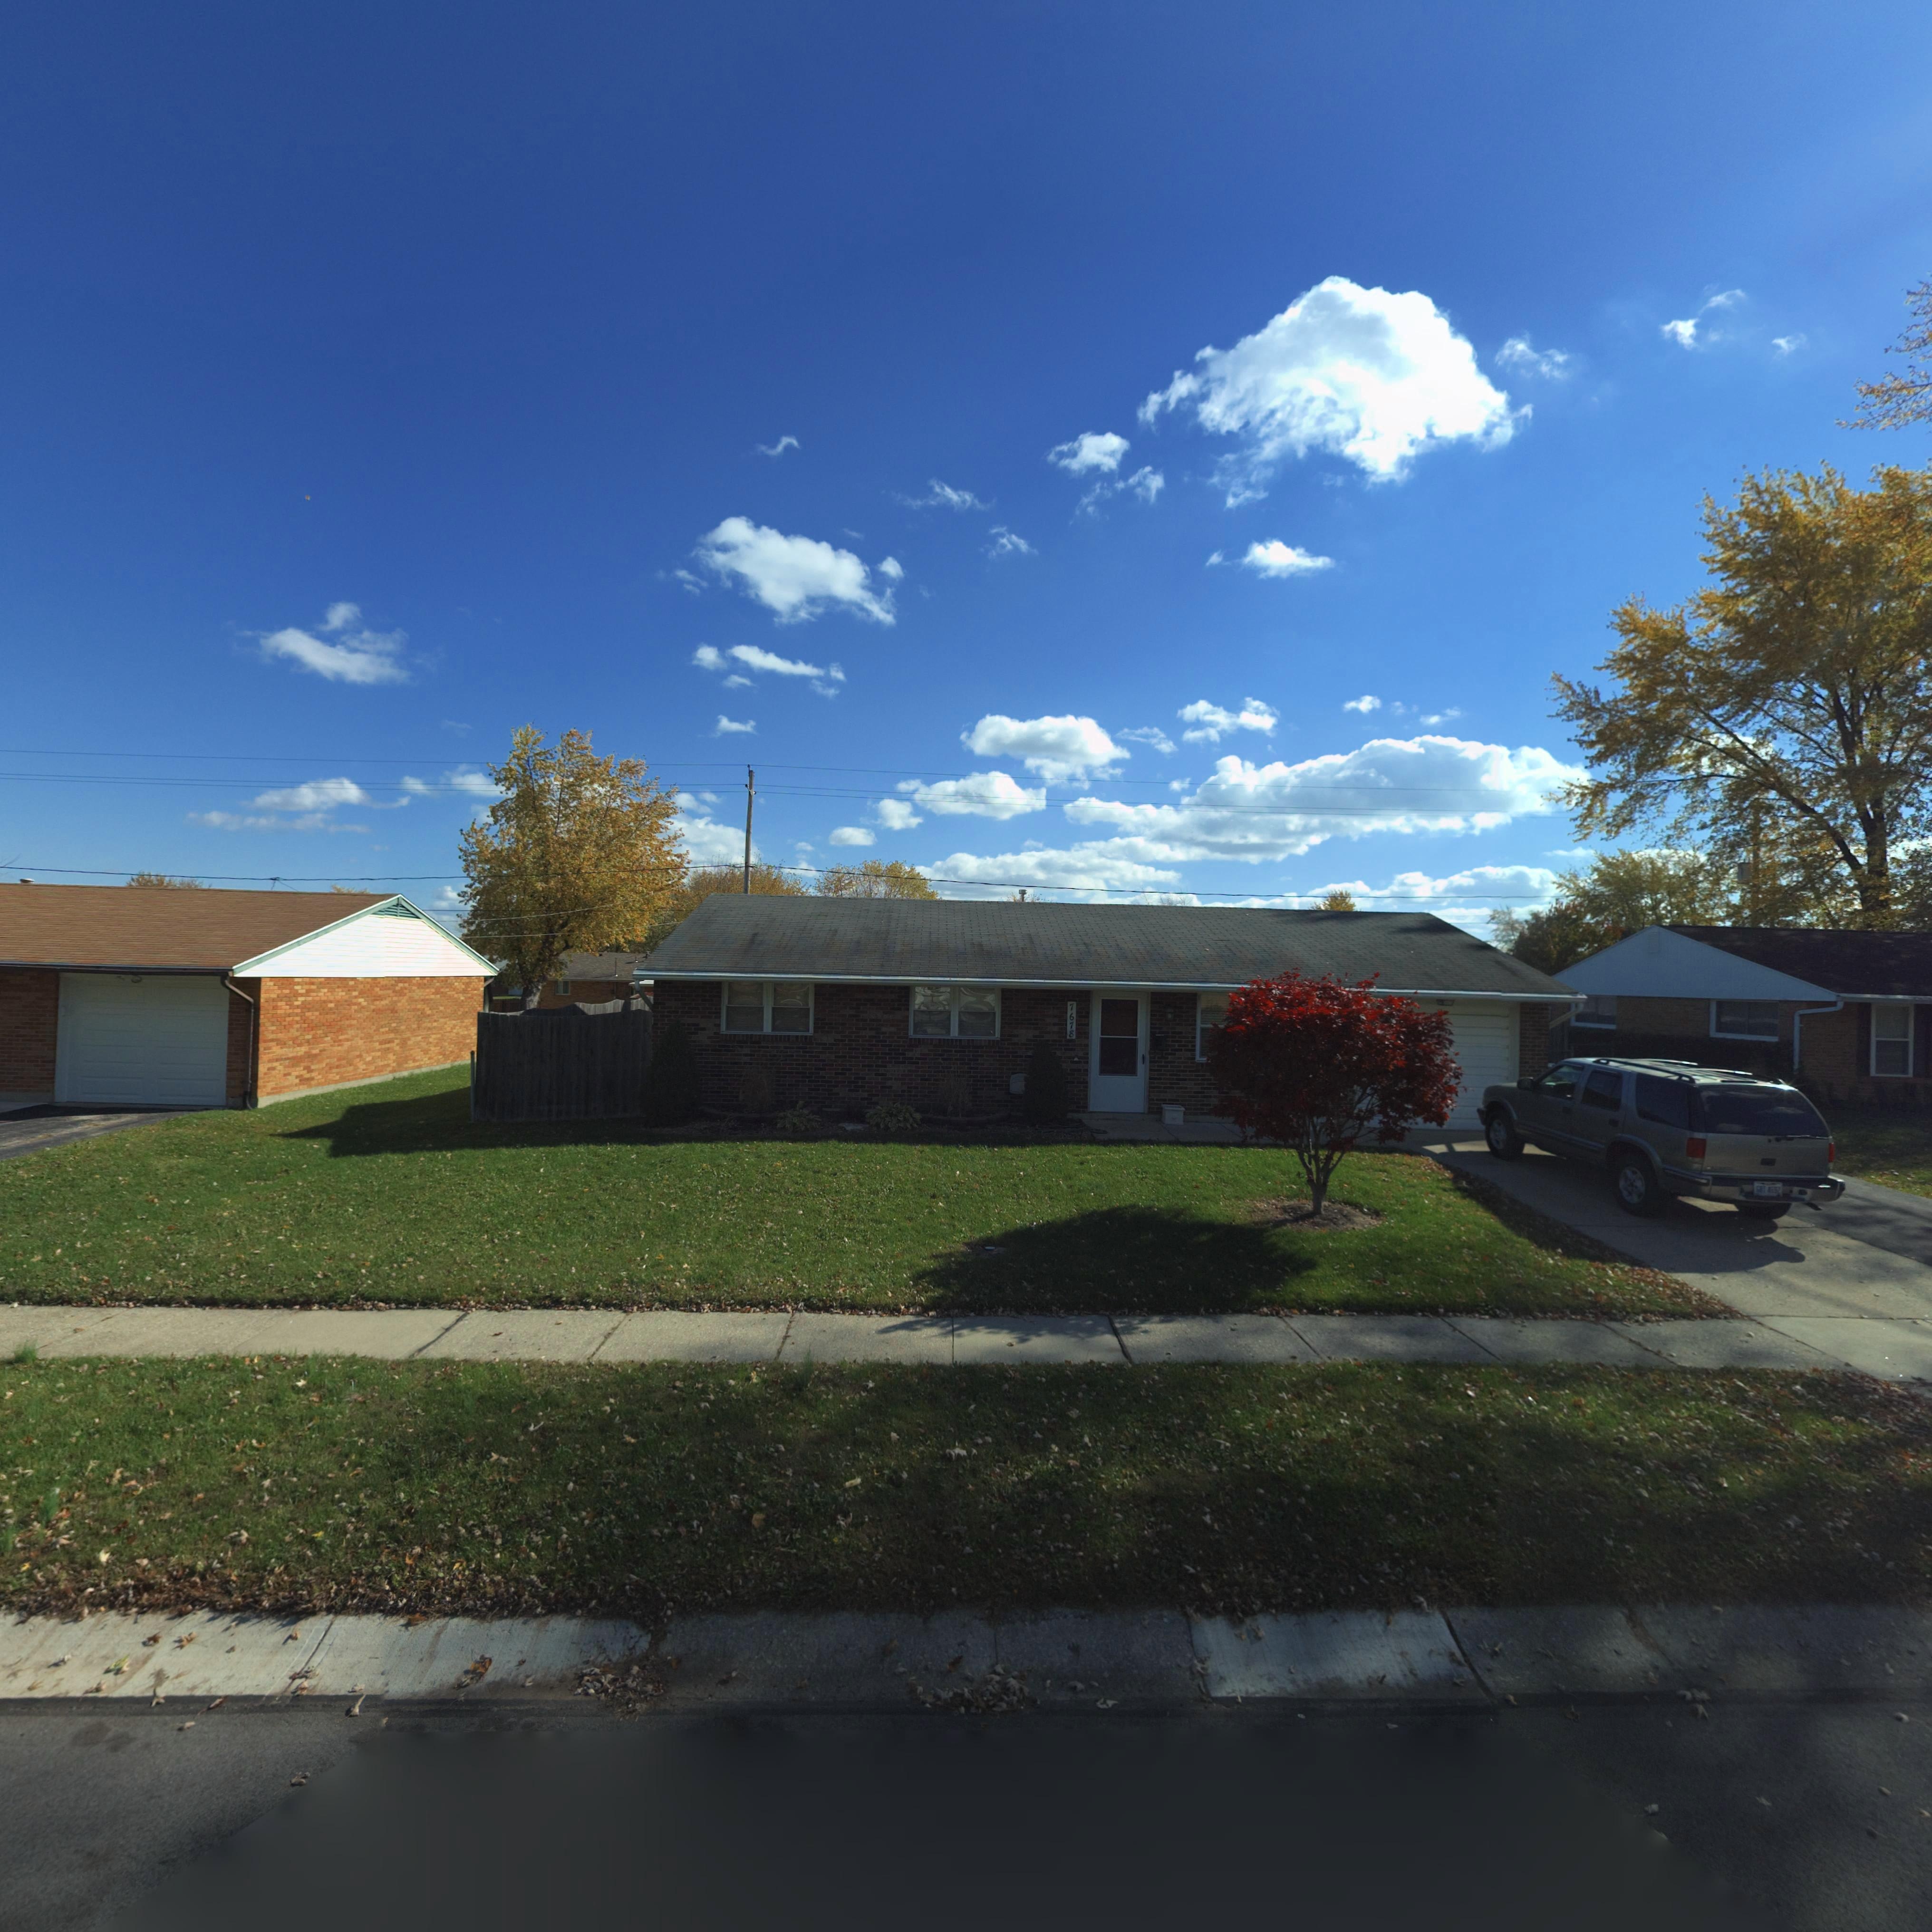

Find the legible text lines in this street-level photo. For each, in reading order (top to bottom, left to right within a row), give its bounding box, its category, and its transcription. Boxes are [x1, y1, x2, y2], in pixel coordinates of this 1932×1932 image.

[1067, 1002, 1075, 1039] StreetNumber: 7678